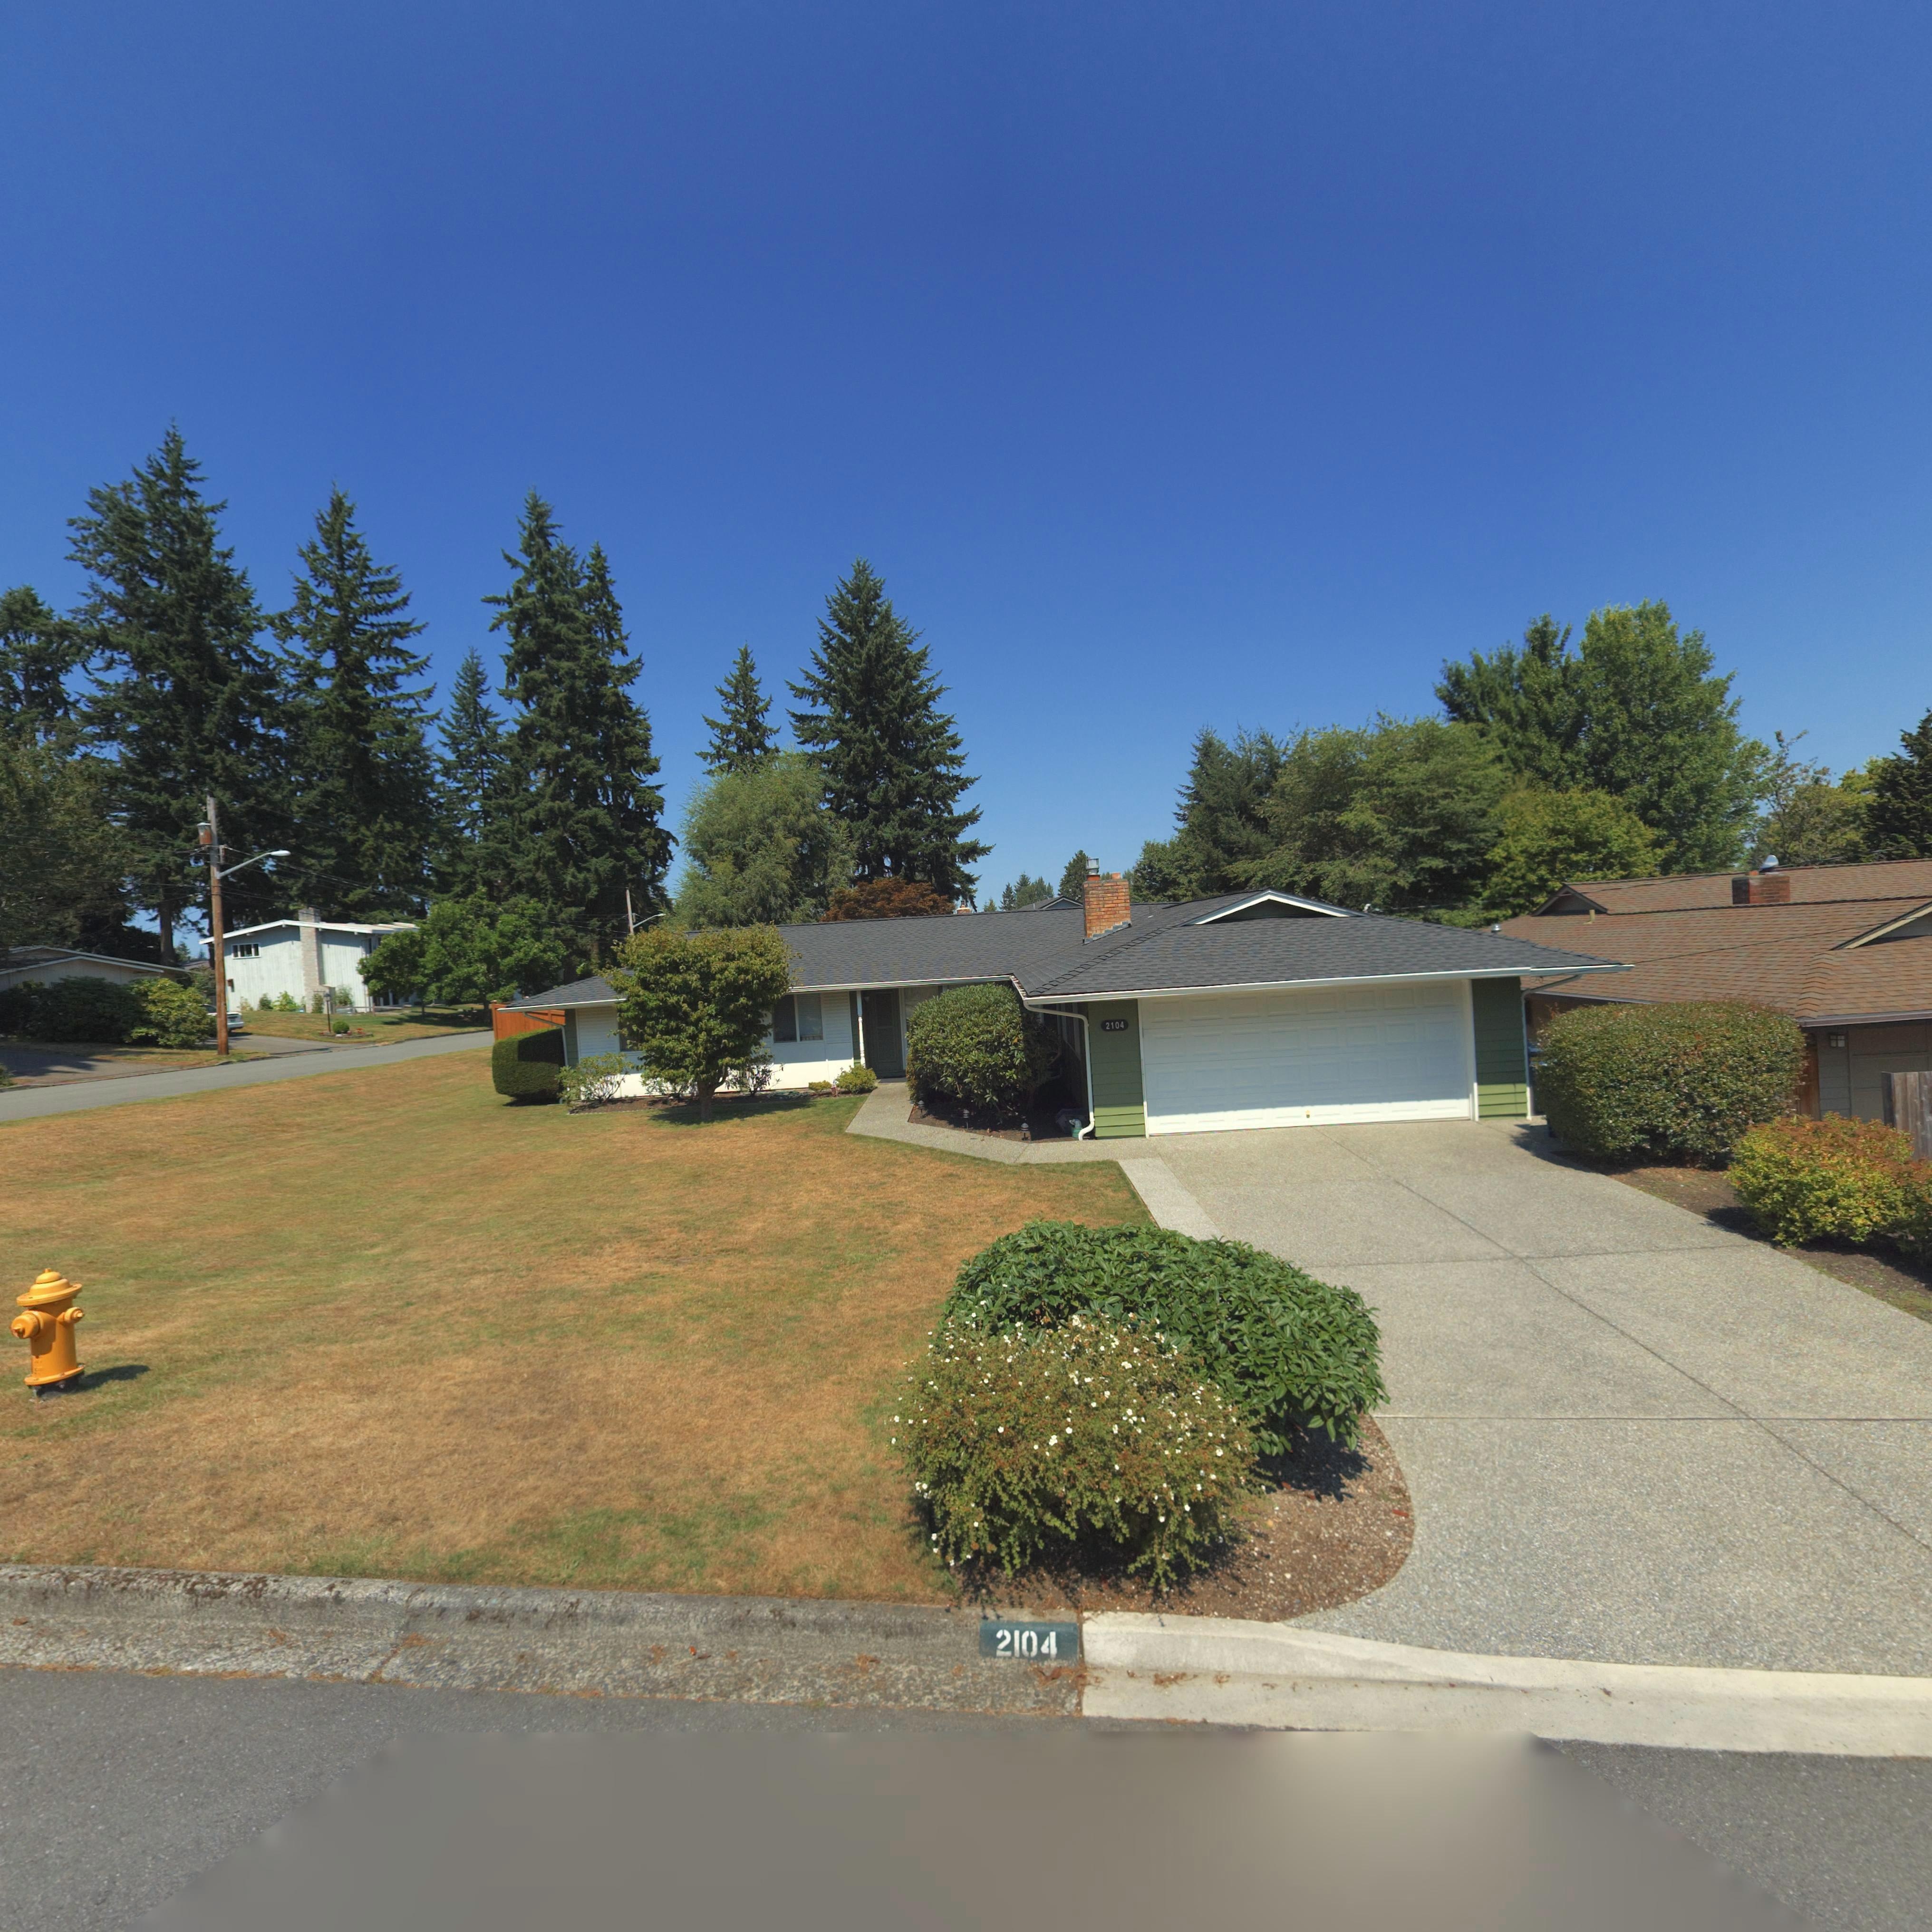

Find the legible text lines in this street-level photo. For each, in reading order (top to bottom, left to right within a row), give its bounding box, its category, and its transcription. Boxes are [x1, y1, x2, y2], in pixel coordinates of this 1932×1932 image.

[1105, 1021, 1124, 1029] StreetNumber: 2104
[995, 1630, 1059, 1659] StreetNumber: 2104